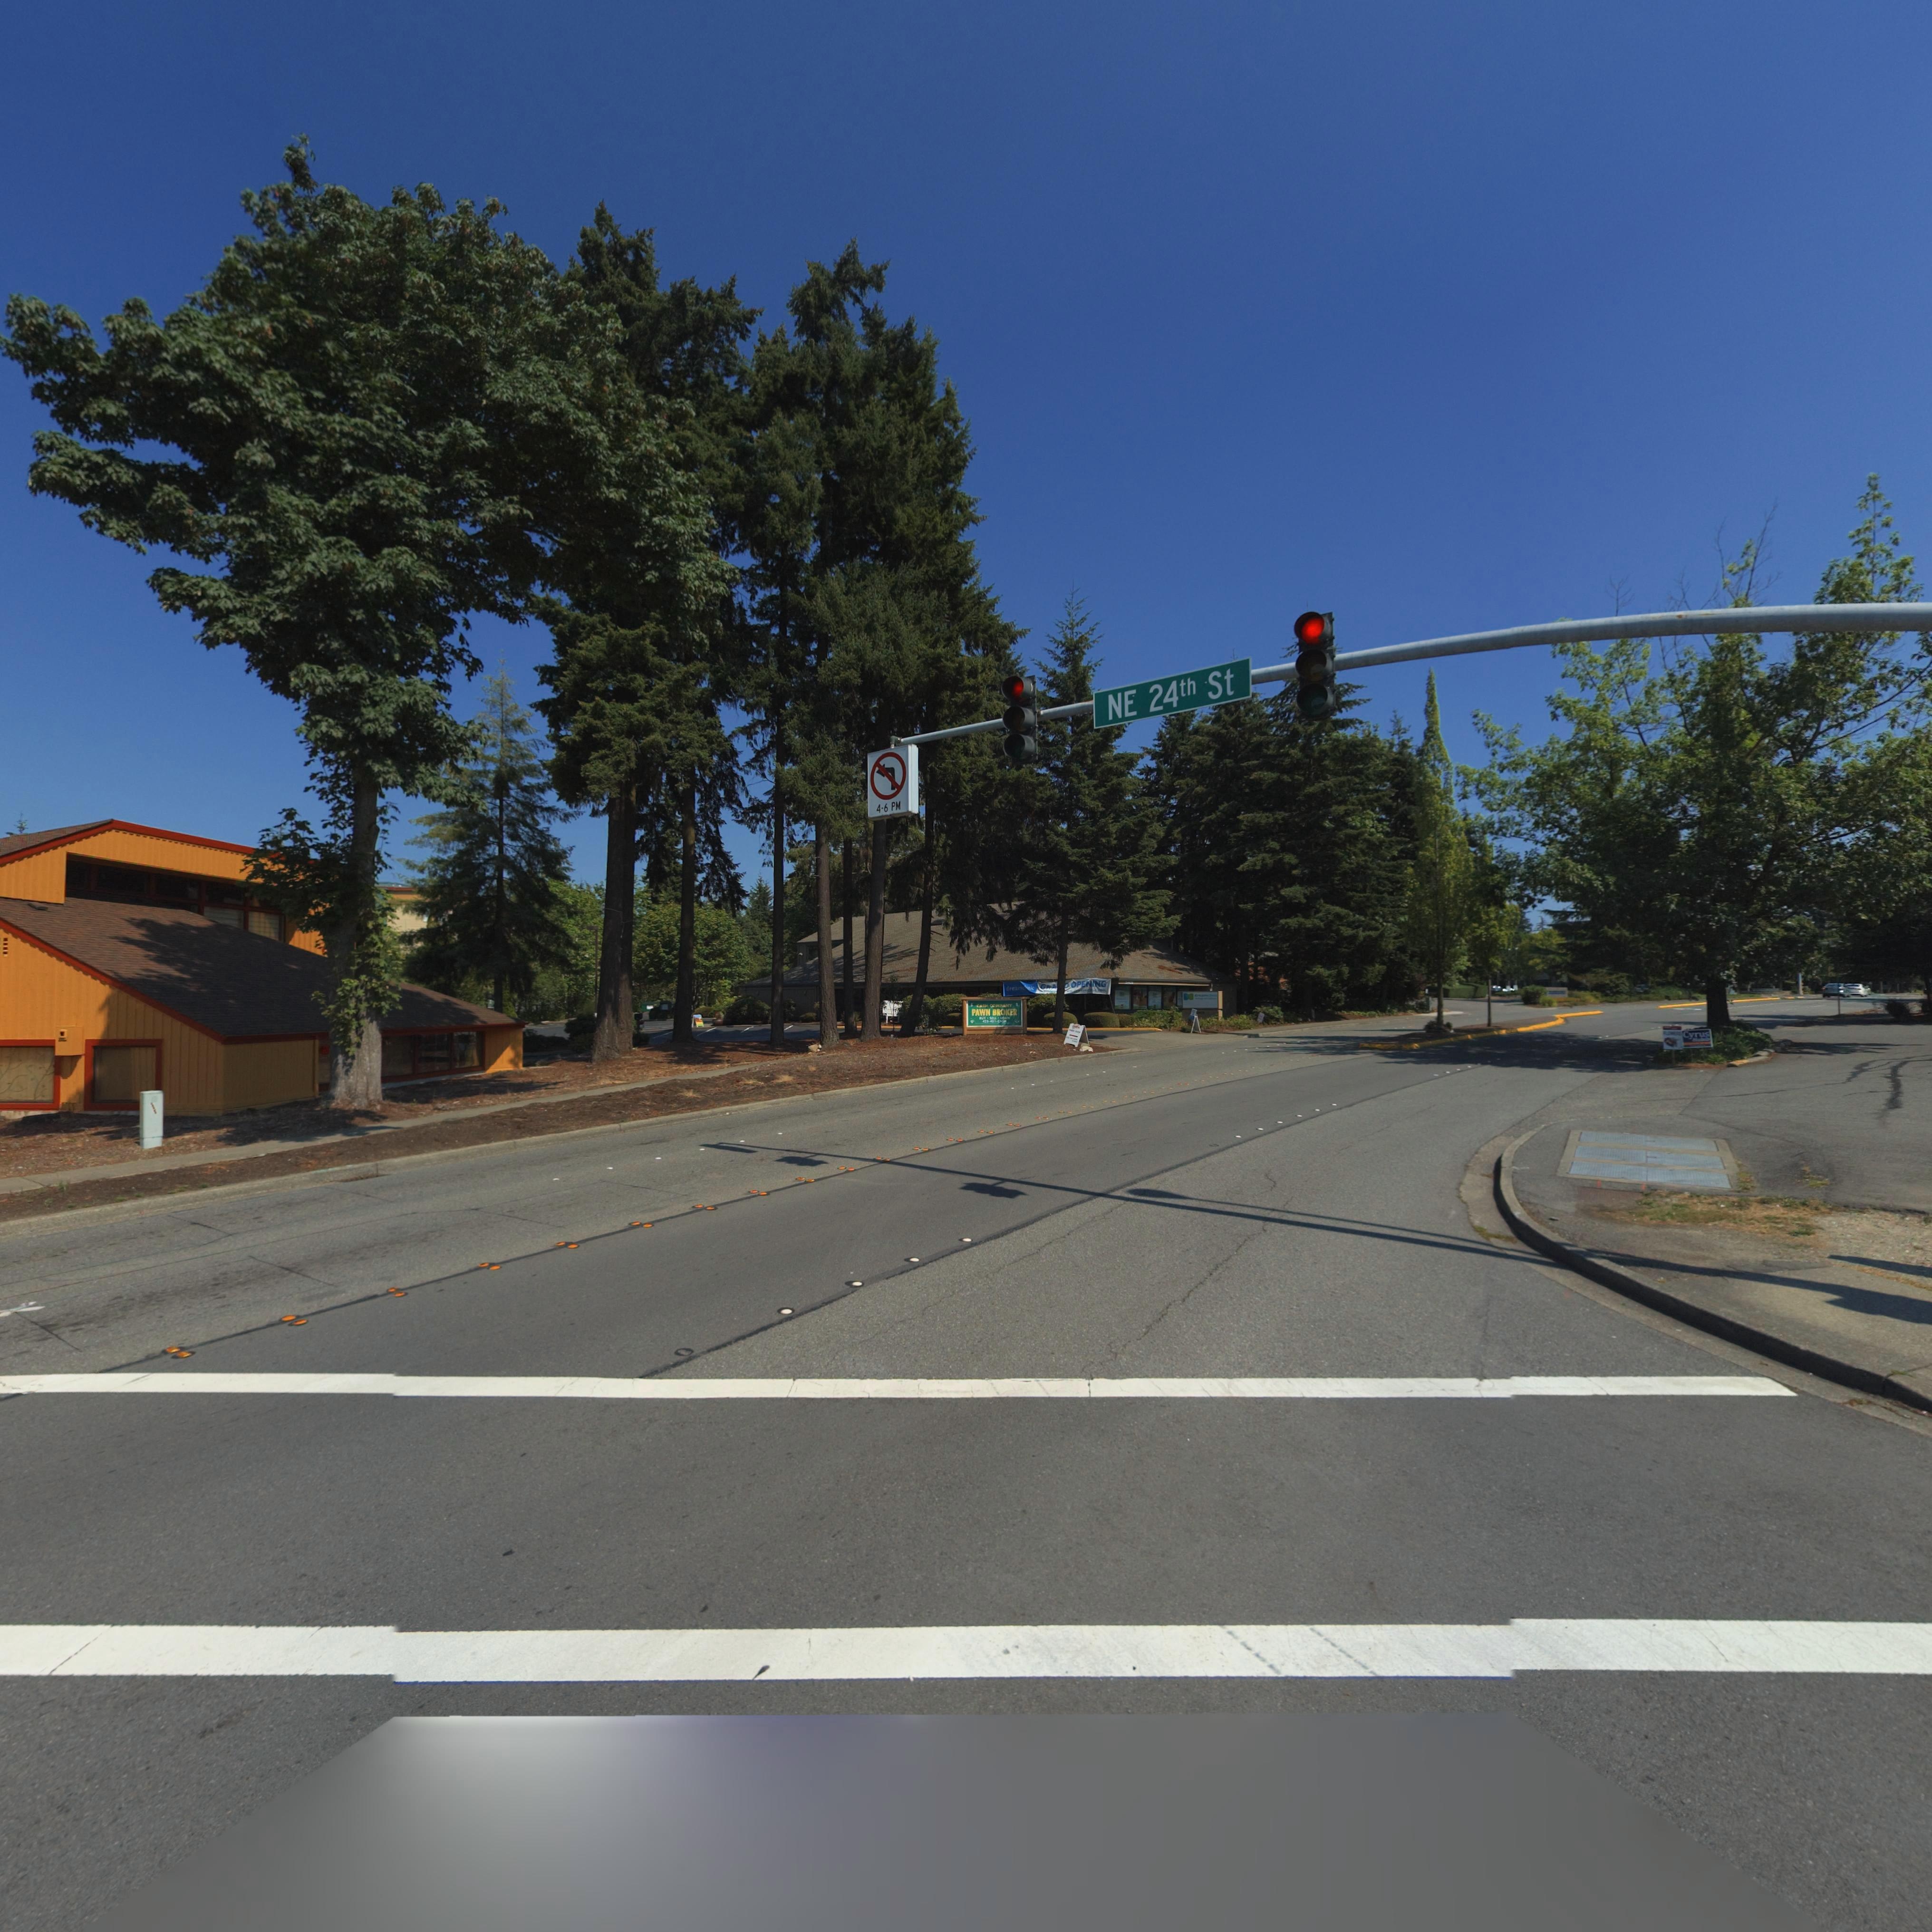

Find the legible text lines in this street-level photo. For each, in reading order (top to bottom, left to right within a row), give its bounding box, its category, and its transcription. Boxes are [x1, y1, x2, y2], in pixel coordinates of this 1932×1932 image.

[1104, 668, 1237, 720] StreetName: NE 24th St
[976, 1004, 1013, 1007] BusinessName: CA*H COMPANY
[971, 1008, 1017, 1016] BusinessName: PAWN BROKER